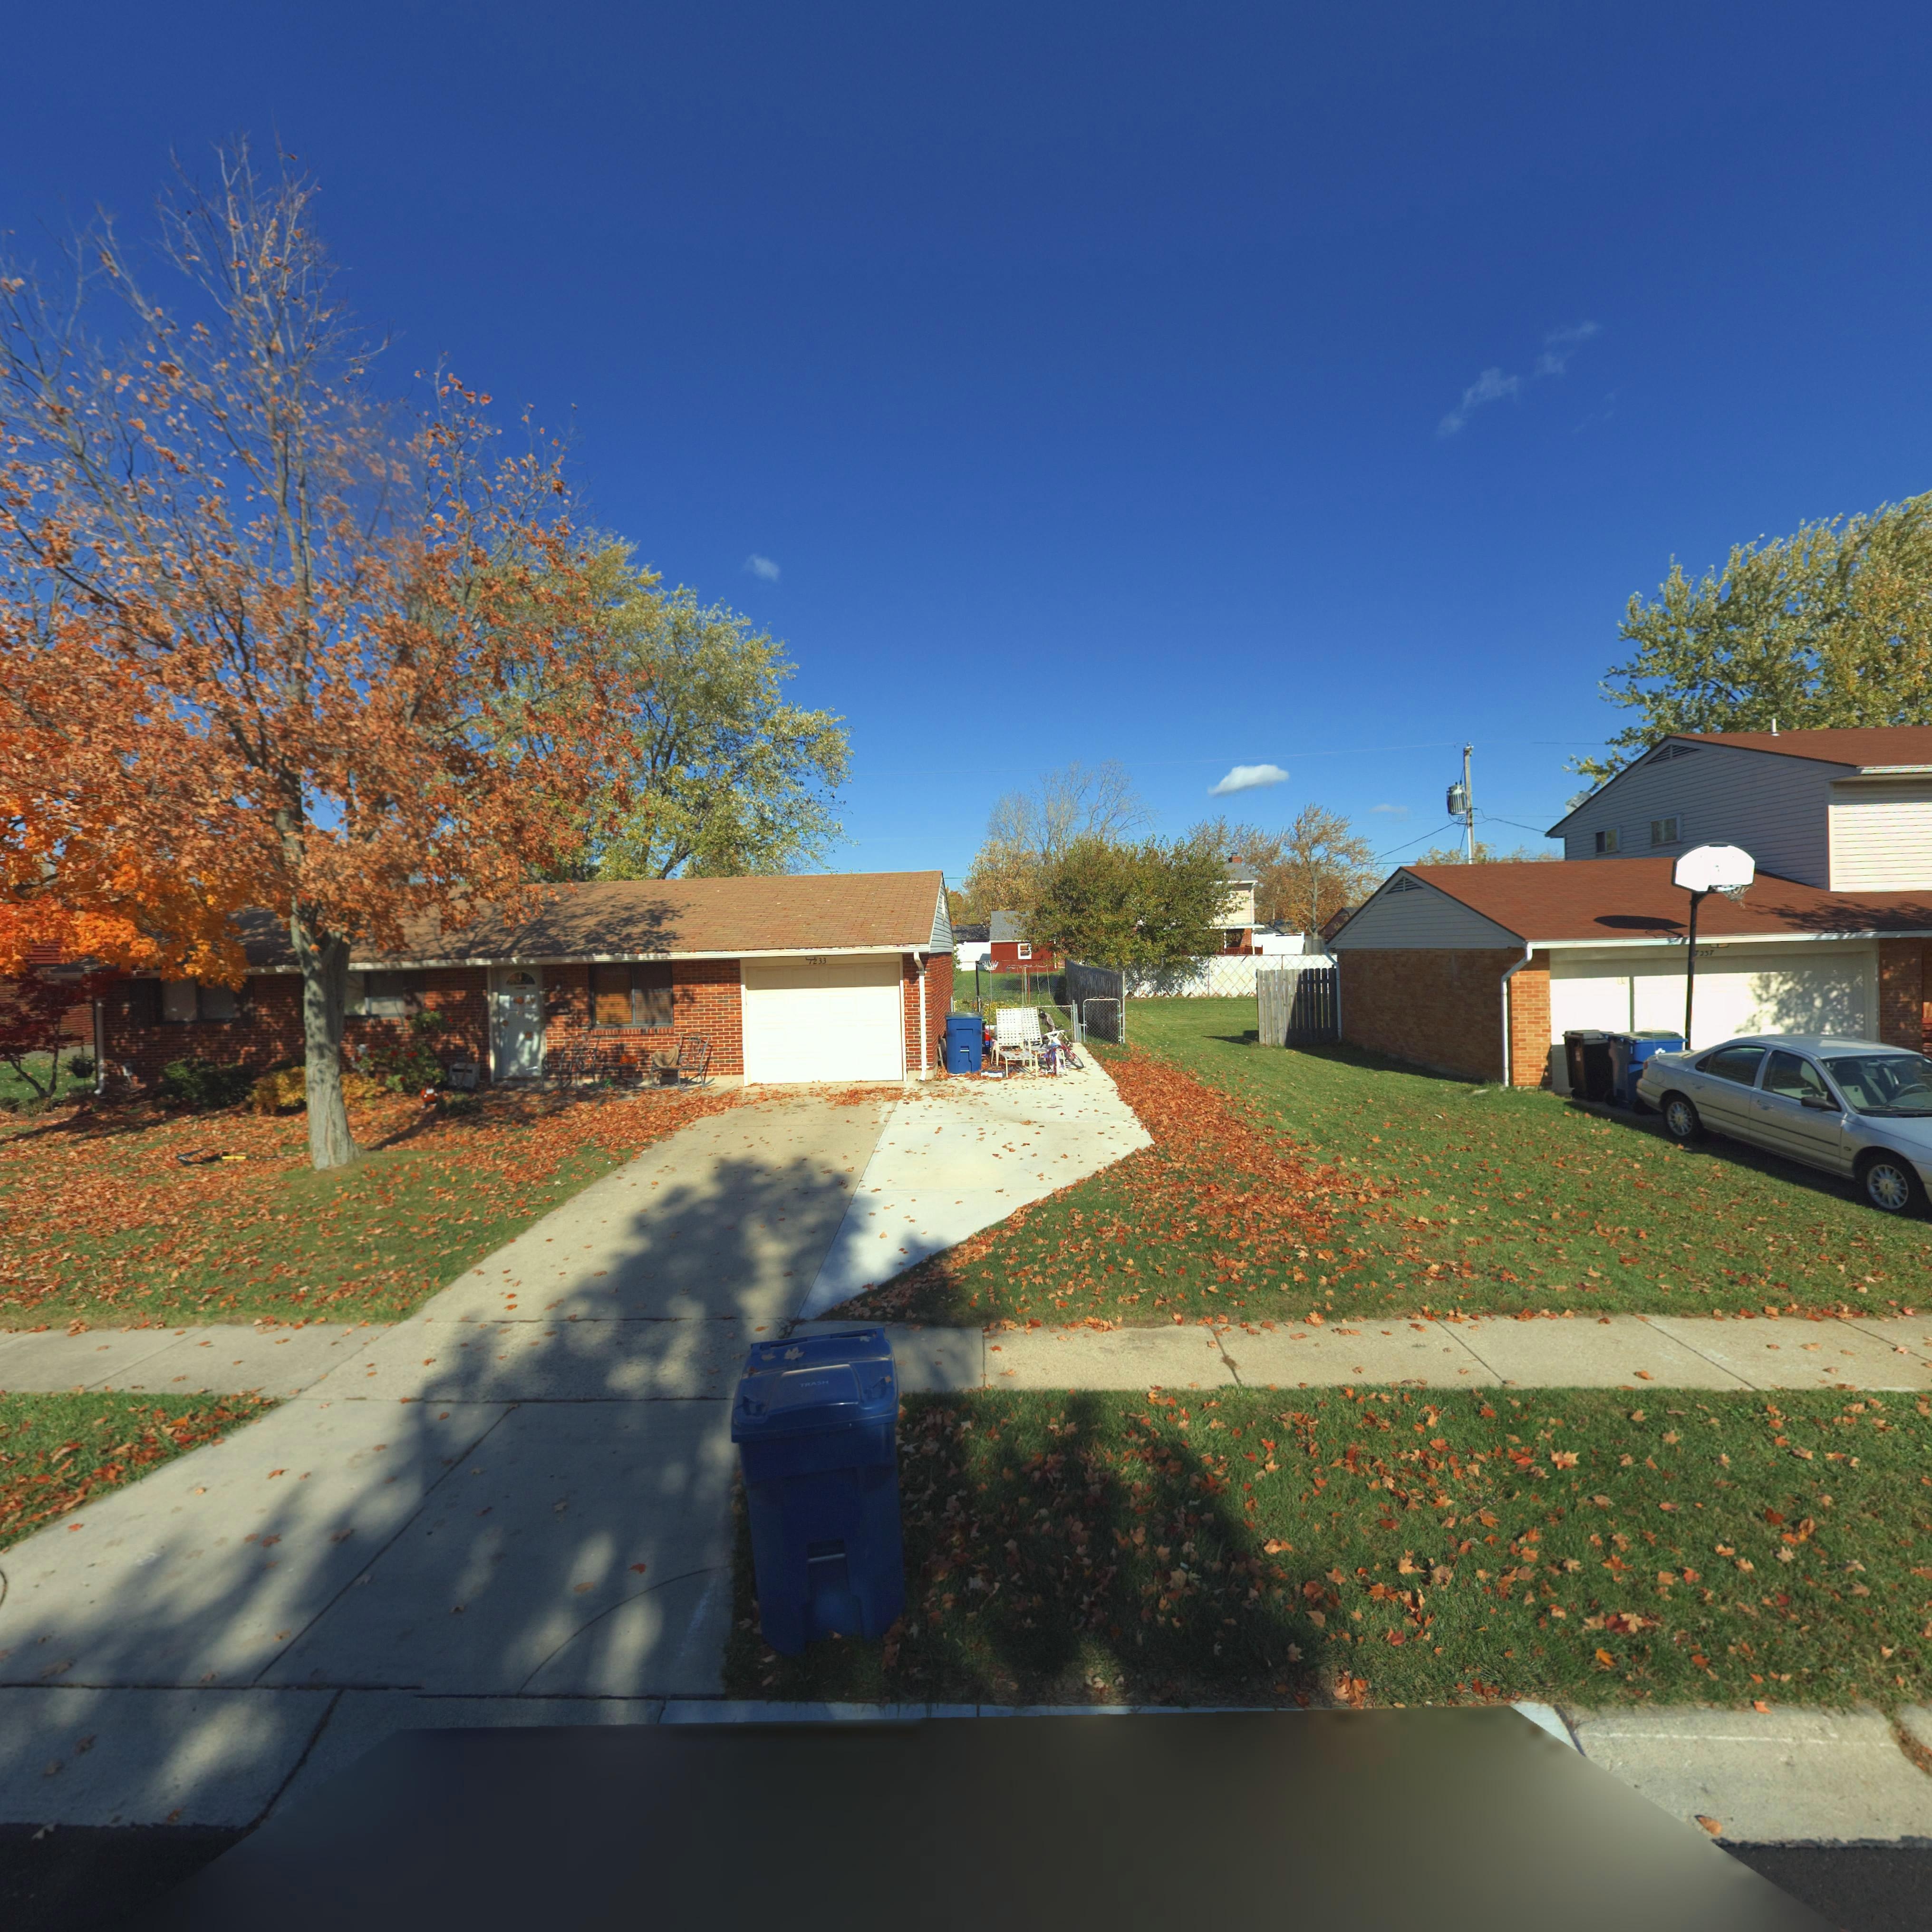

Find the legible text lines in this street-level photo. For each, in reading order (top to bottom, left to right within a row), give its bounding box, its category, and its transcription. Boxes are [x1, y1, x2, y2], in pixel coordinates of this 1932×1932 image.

[1694, 949, 1716, 957] StreetNumber: 72*7
[817, 956, 828, 965] StreetNumber: 33